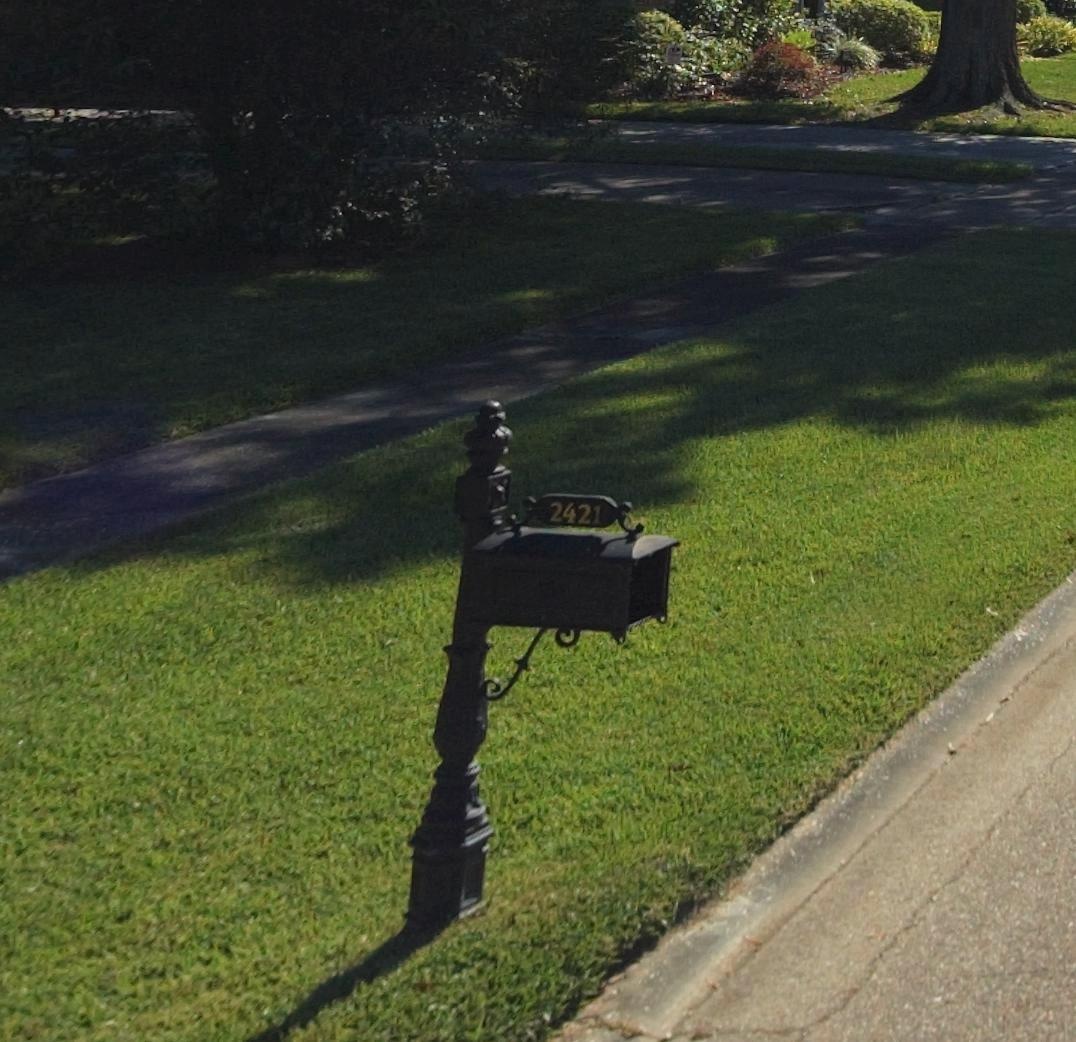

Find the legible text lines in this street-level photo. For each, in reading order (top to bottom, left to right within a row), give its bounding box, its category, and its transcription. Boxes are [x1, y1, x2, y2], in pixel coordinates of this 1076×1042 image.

[547, 498, 604, 528] StreetNumber: 2421